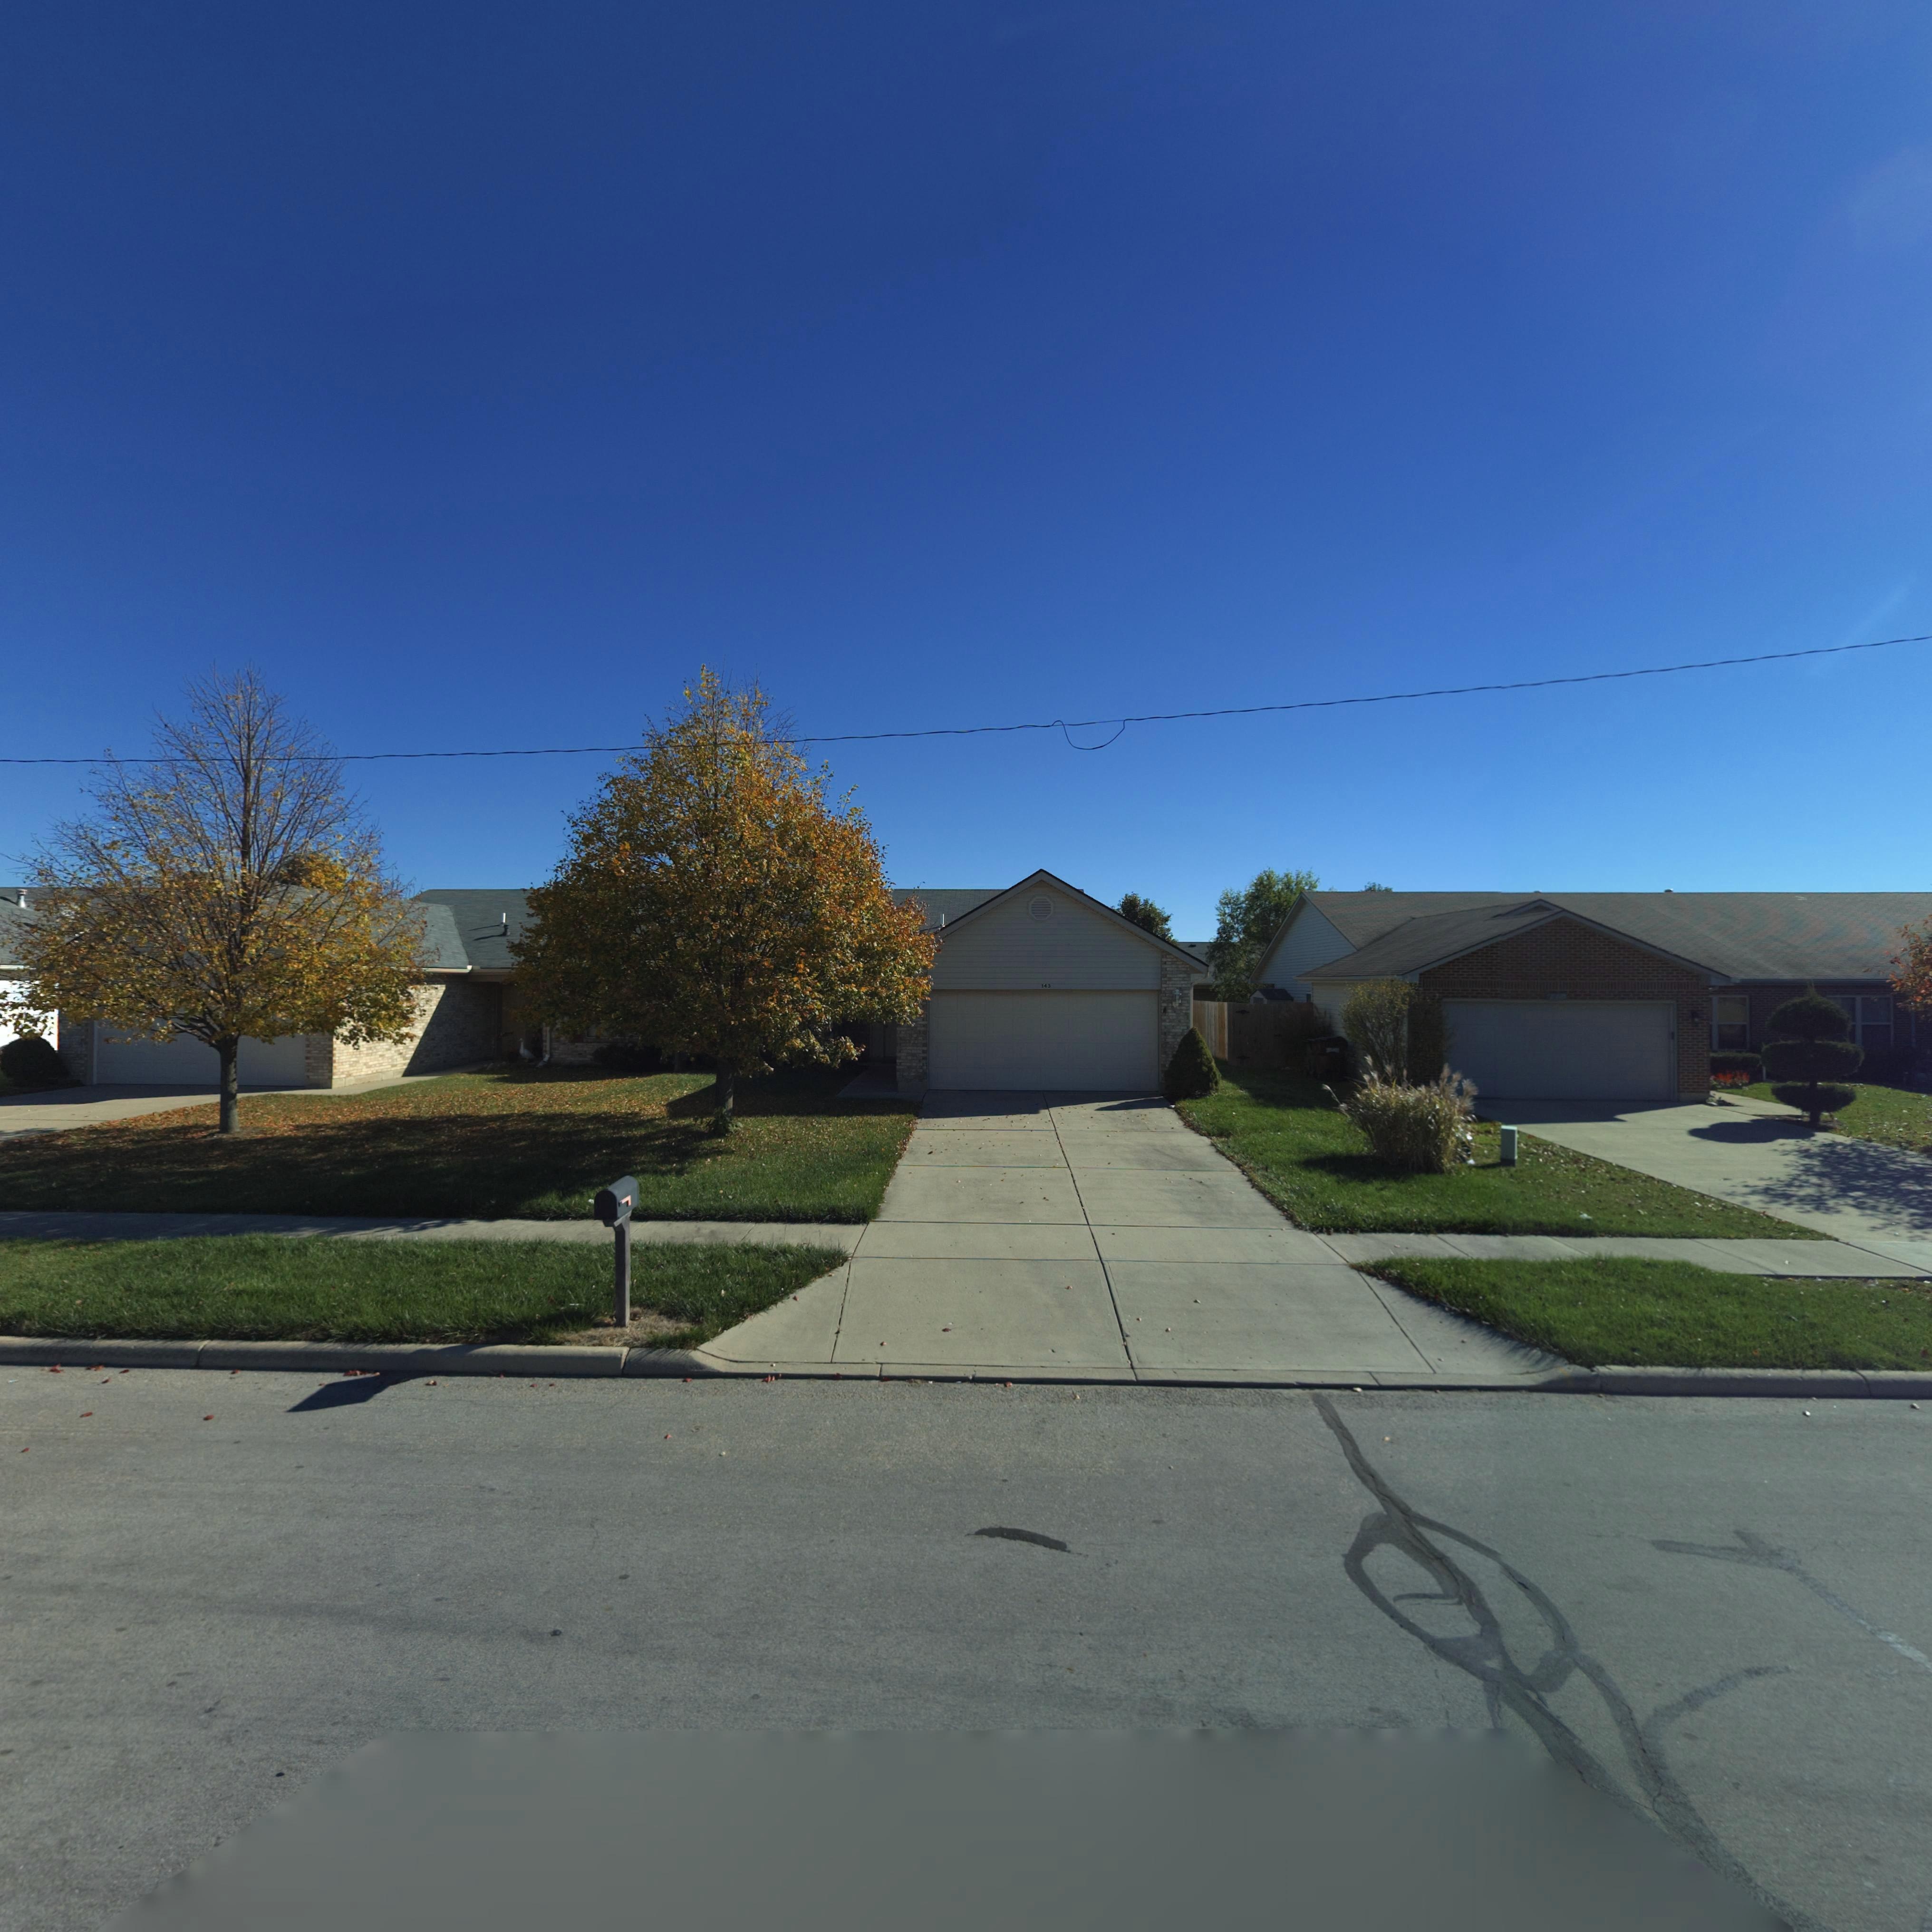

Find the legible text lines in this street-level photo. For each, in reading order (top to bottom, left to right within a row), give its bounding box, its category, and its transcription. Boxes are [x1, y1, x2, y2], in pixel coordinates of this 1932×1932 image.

[1041, 984, 1051, 988] StreetNumber: 143